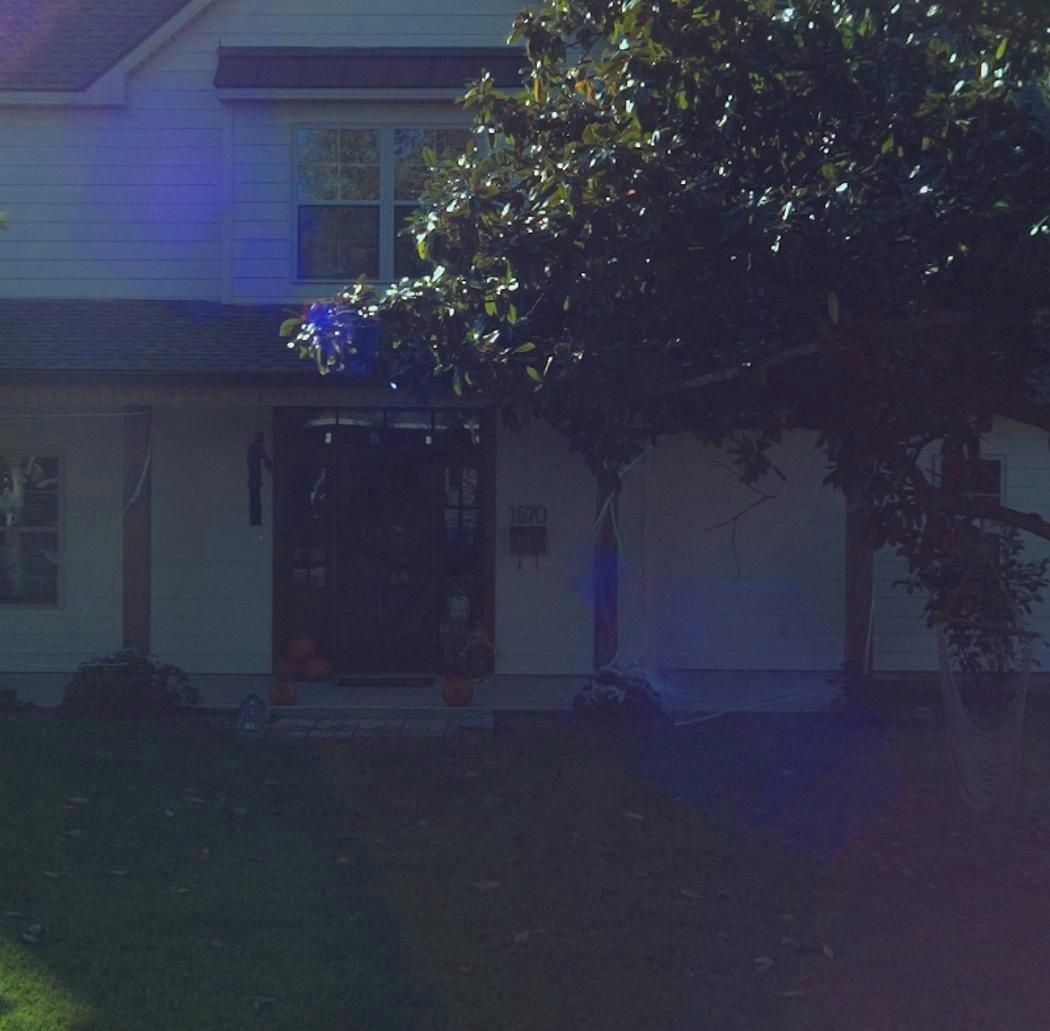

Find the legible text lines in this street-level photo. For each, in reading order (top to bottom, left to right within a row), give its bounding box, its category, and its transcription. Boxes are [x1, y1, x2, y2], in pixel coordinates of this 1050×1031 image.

[508, 504, 549, 526] StreetNumber: 1570